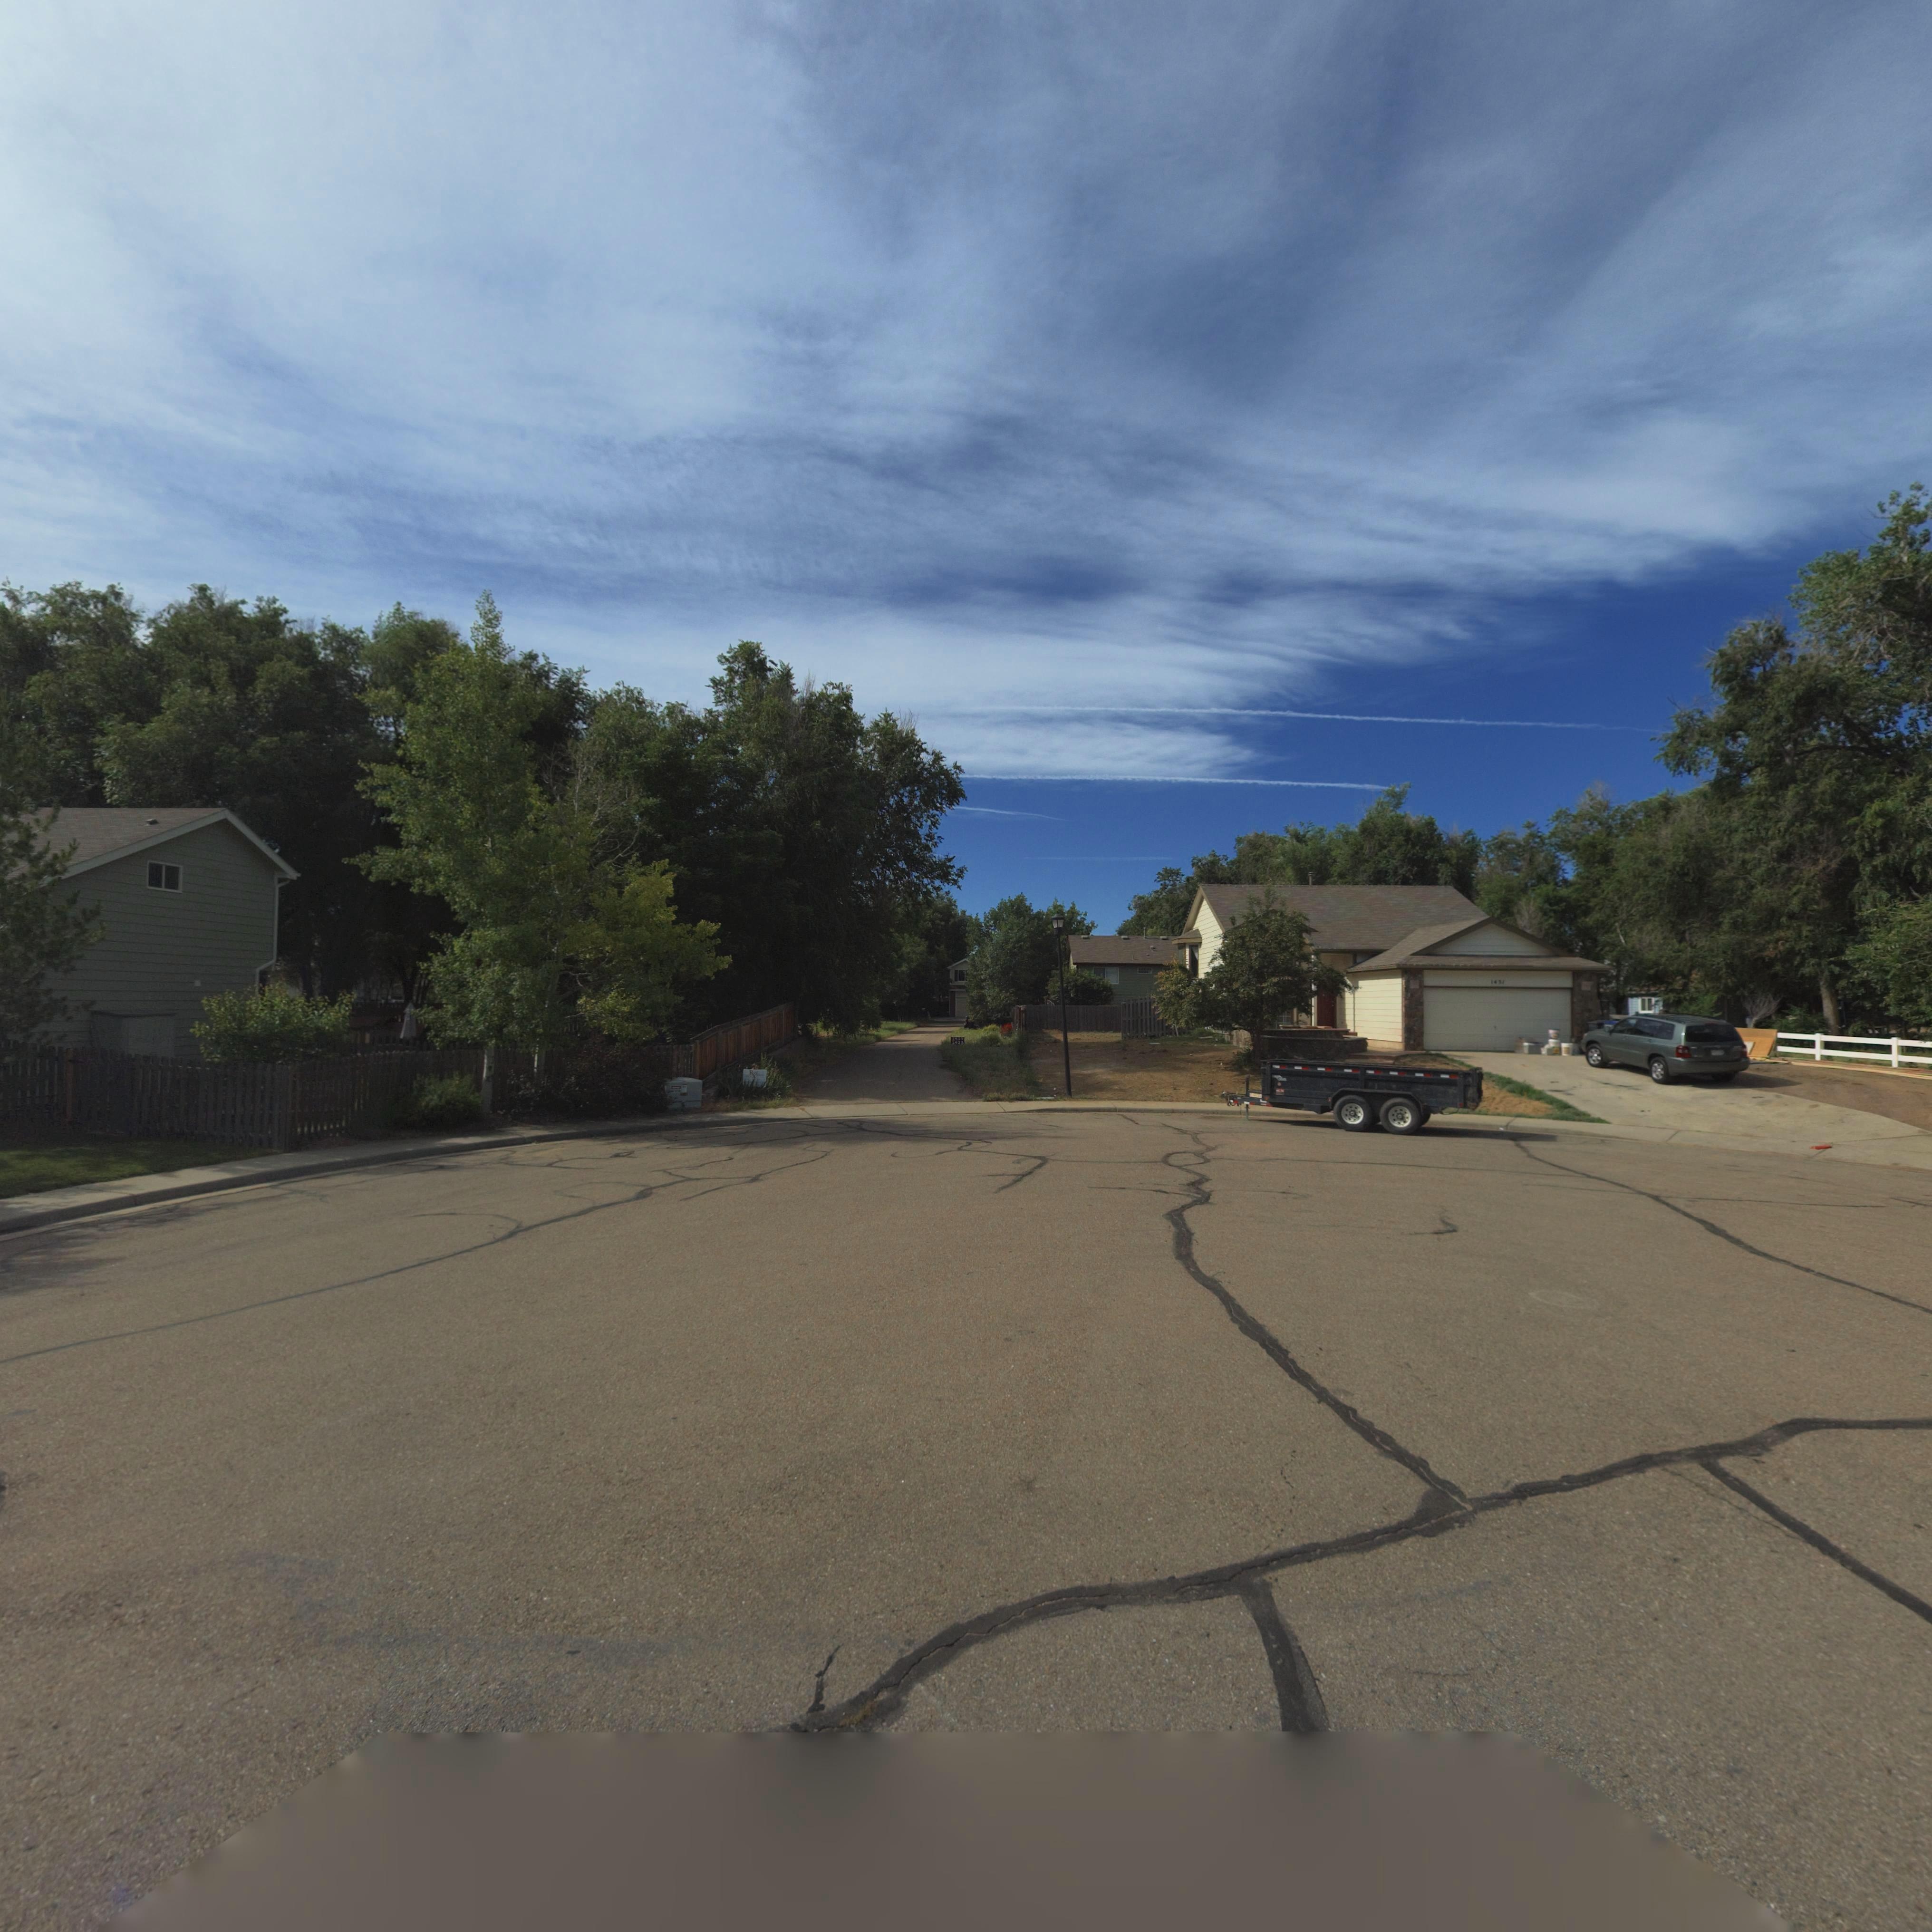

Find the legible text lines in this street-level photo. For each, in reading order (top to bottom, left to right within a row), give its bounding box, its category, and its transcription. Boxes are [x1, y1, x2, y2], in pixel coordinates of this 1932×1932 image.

[1490, 979, 1505, 985] StreetNumber: 1431
[952, 1037, 964, 1041] StreetNumber: 1427
[951, 1041, 964, 1044] StreetNumber: 1423